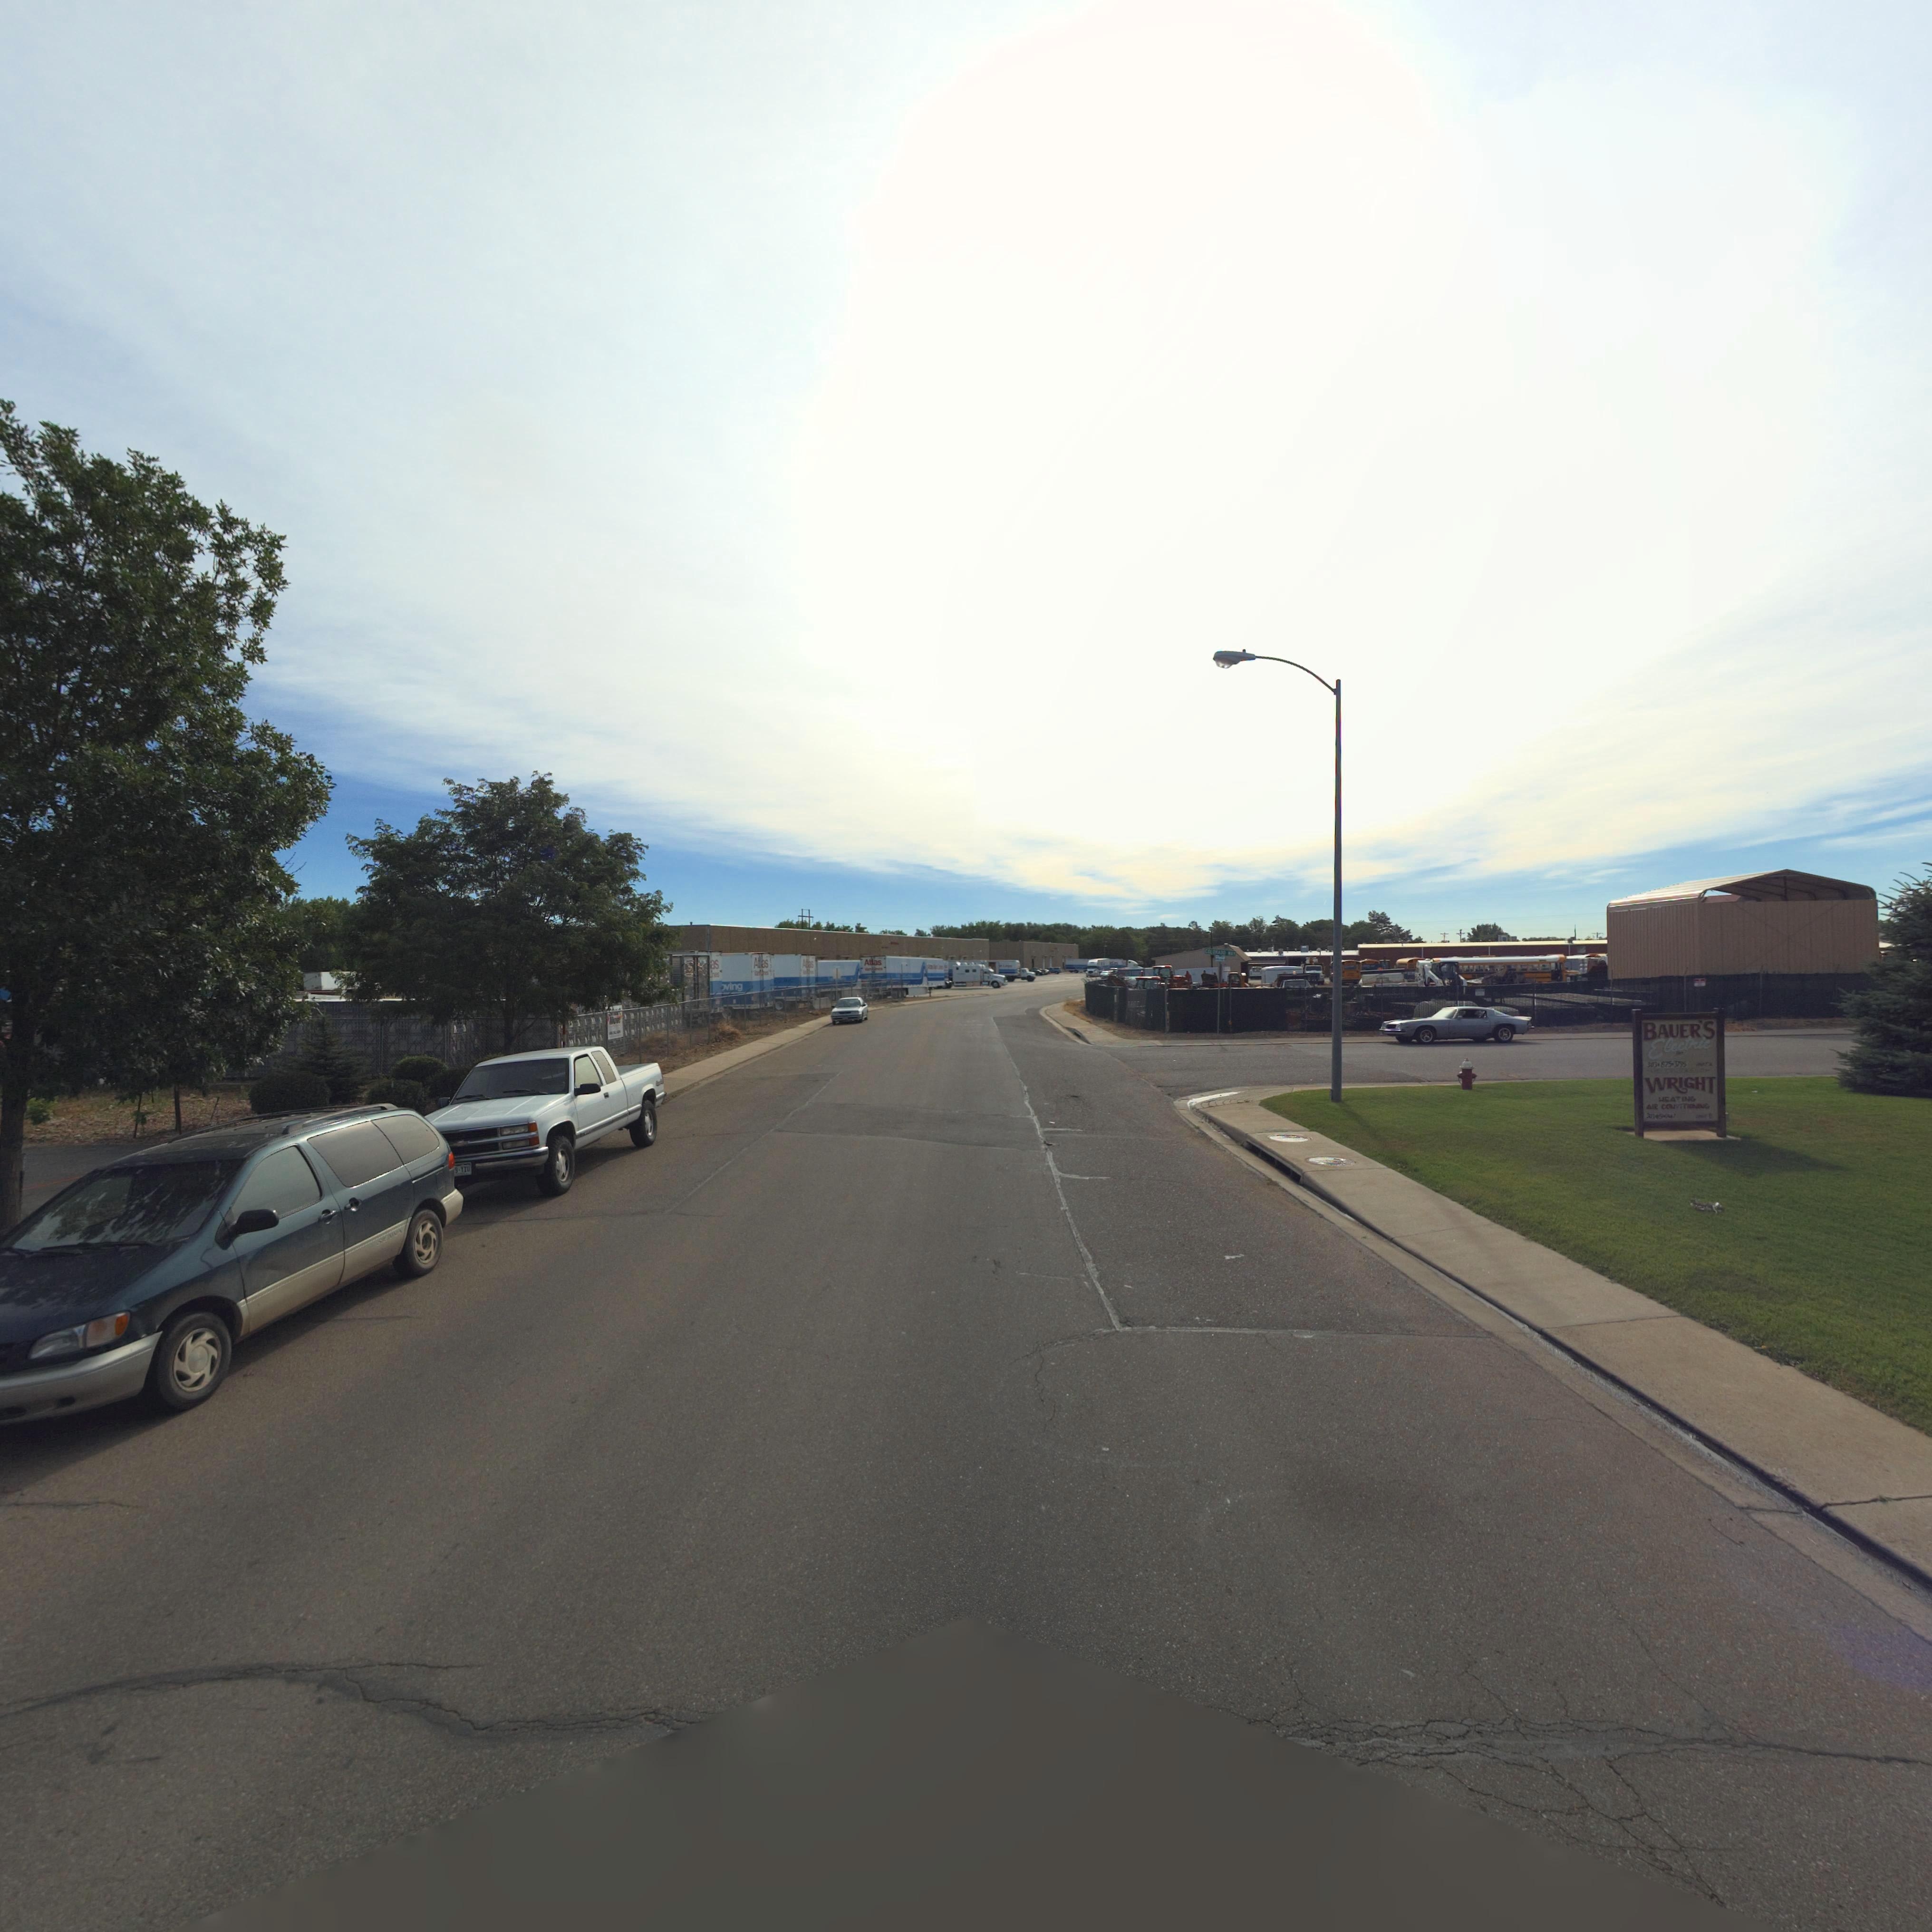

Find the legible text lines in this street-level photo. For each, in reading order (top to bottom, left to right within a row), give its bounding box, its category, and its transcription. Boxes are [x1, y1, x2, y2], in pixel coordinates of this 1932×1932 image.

[1205, 949, 1236, 956] StreetName: COLO*AD* *A*
[1642, 1020, 1716, 1041] BusinessName: BAUER*S
[1643, 1076, 1716, 1094] BusinessName: WRIGHT